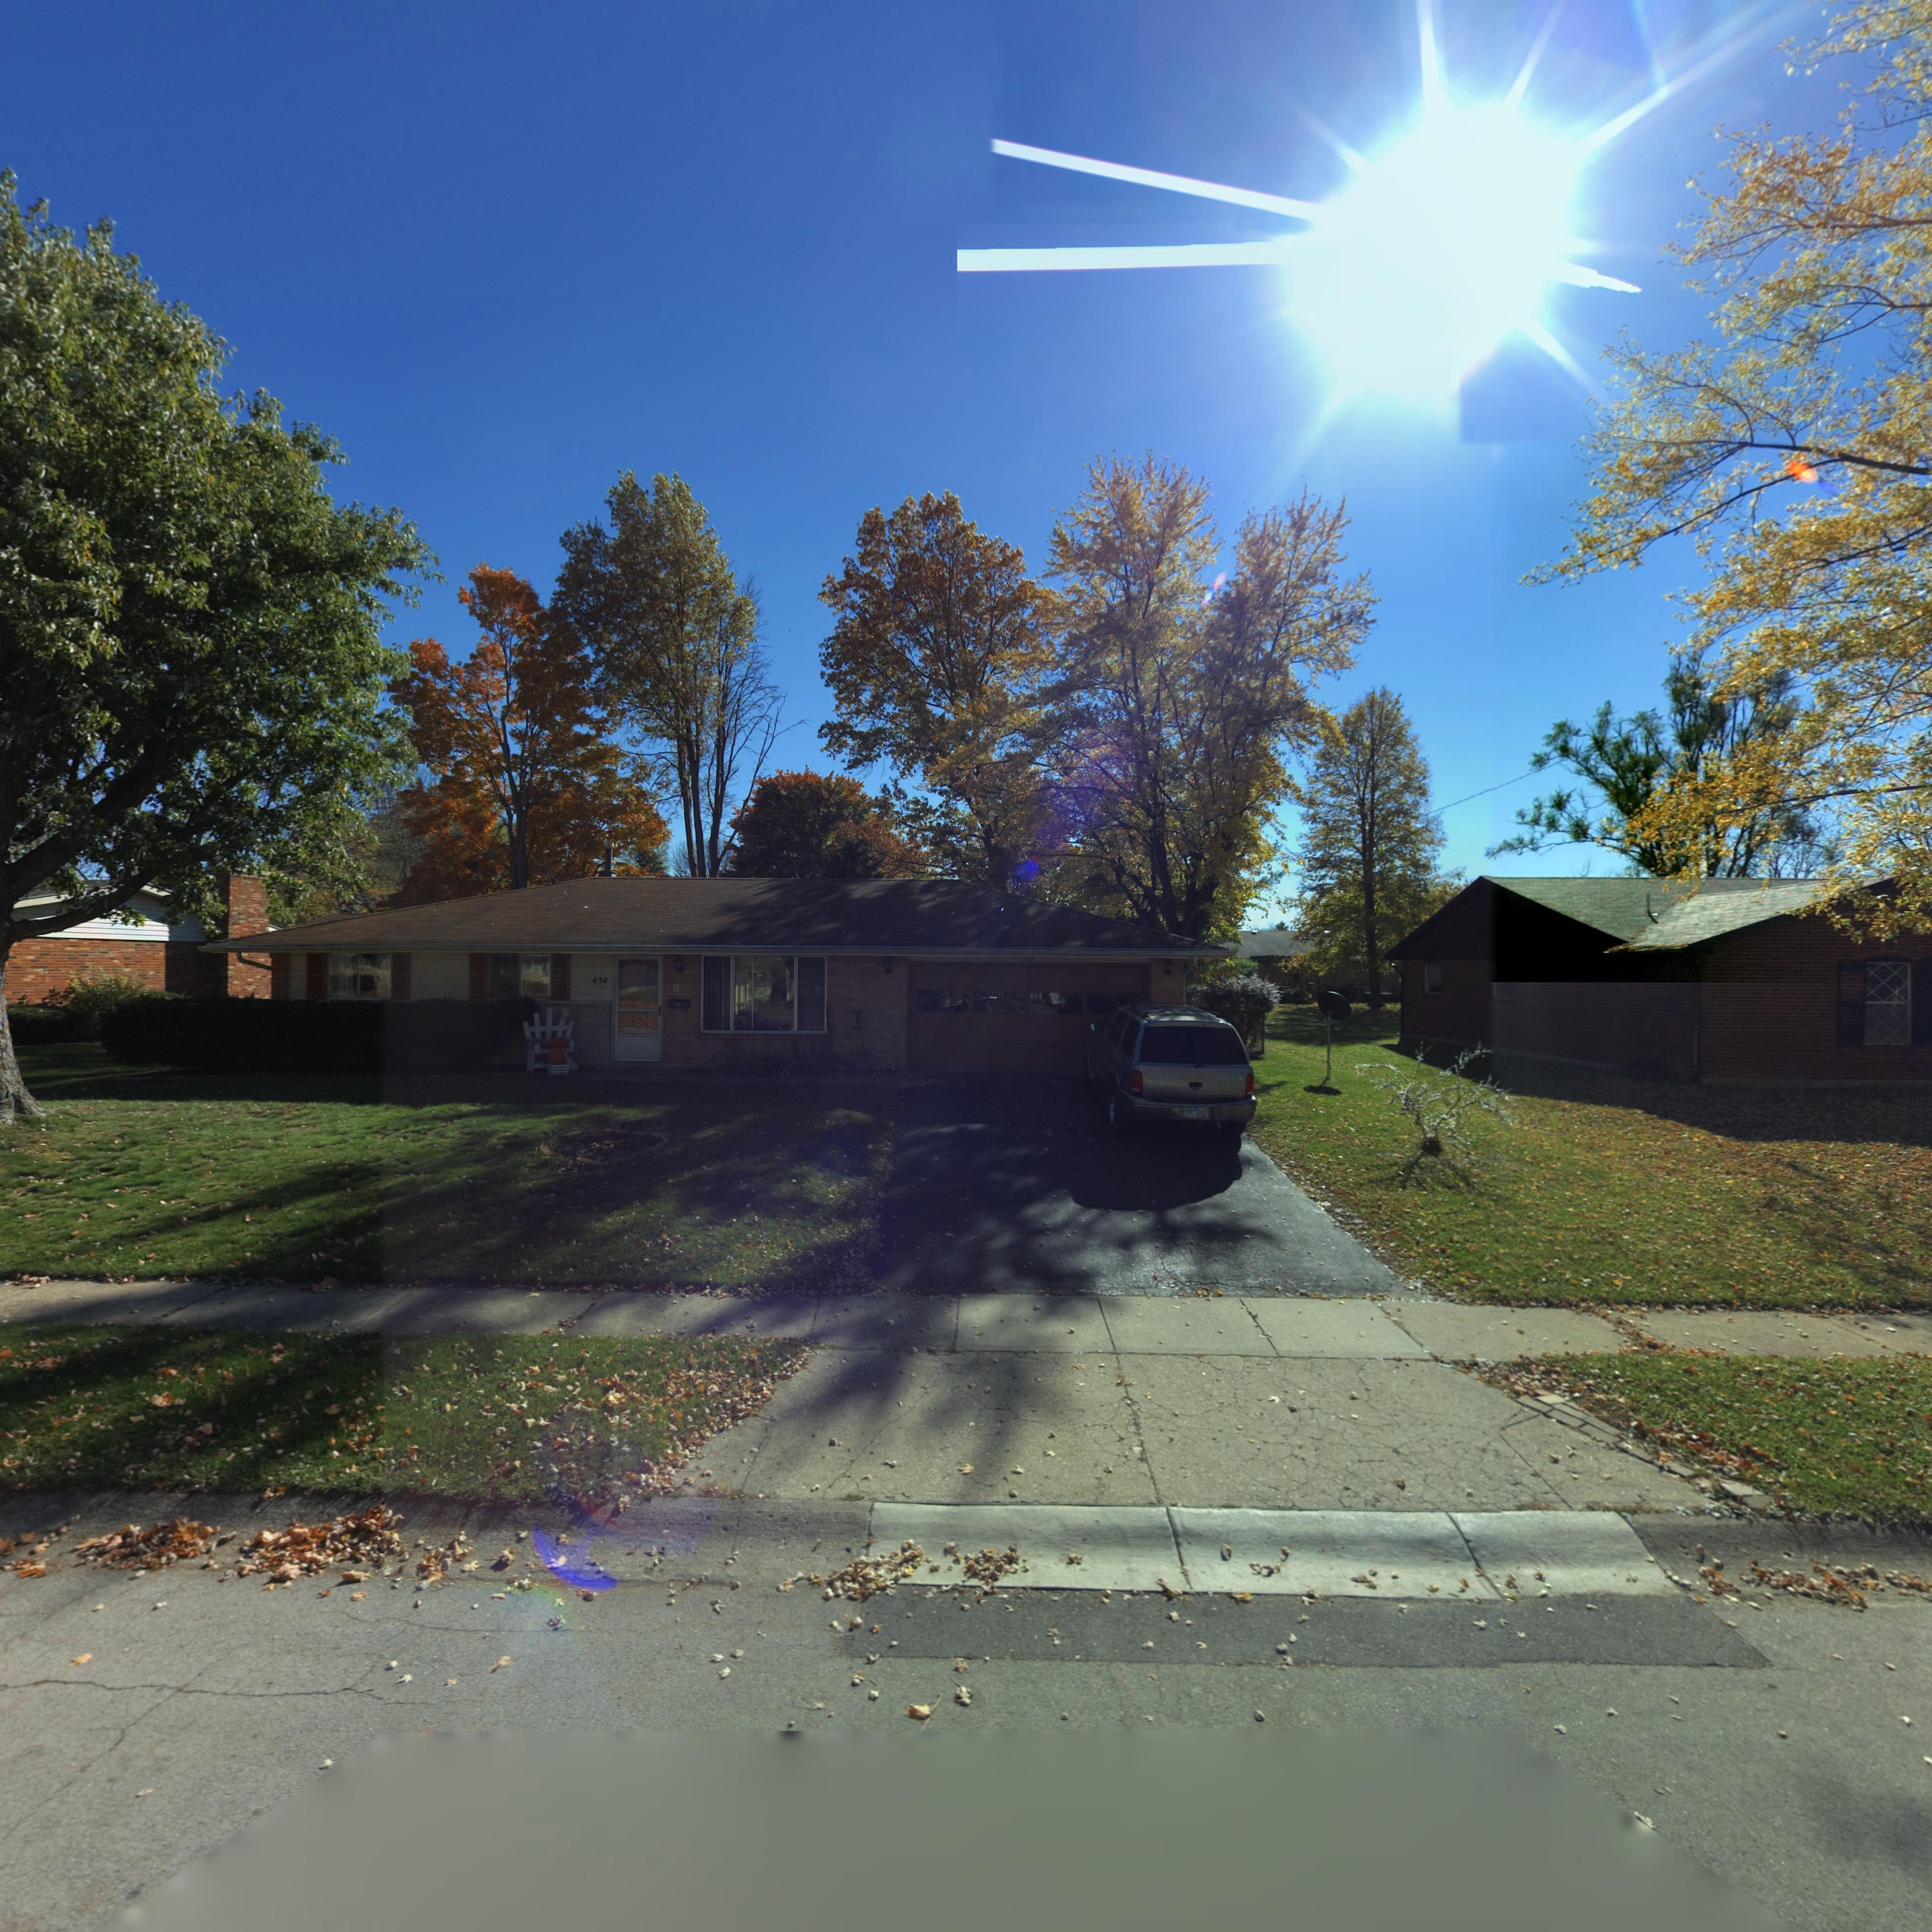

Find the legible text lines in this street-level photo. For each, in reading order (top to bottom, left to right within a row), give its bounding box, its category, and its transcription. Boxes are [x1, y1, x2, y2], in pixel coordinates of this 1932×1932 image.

[590, 976, 609, 985] StreetNumber: 434
[1185, 1109, 1207, 1117] None: FVC*5283